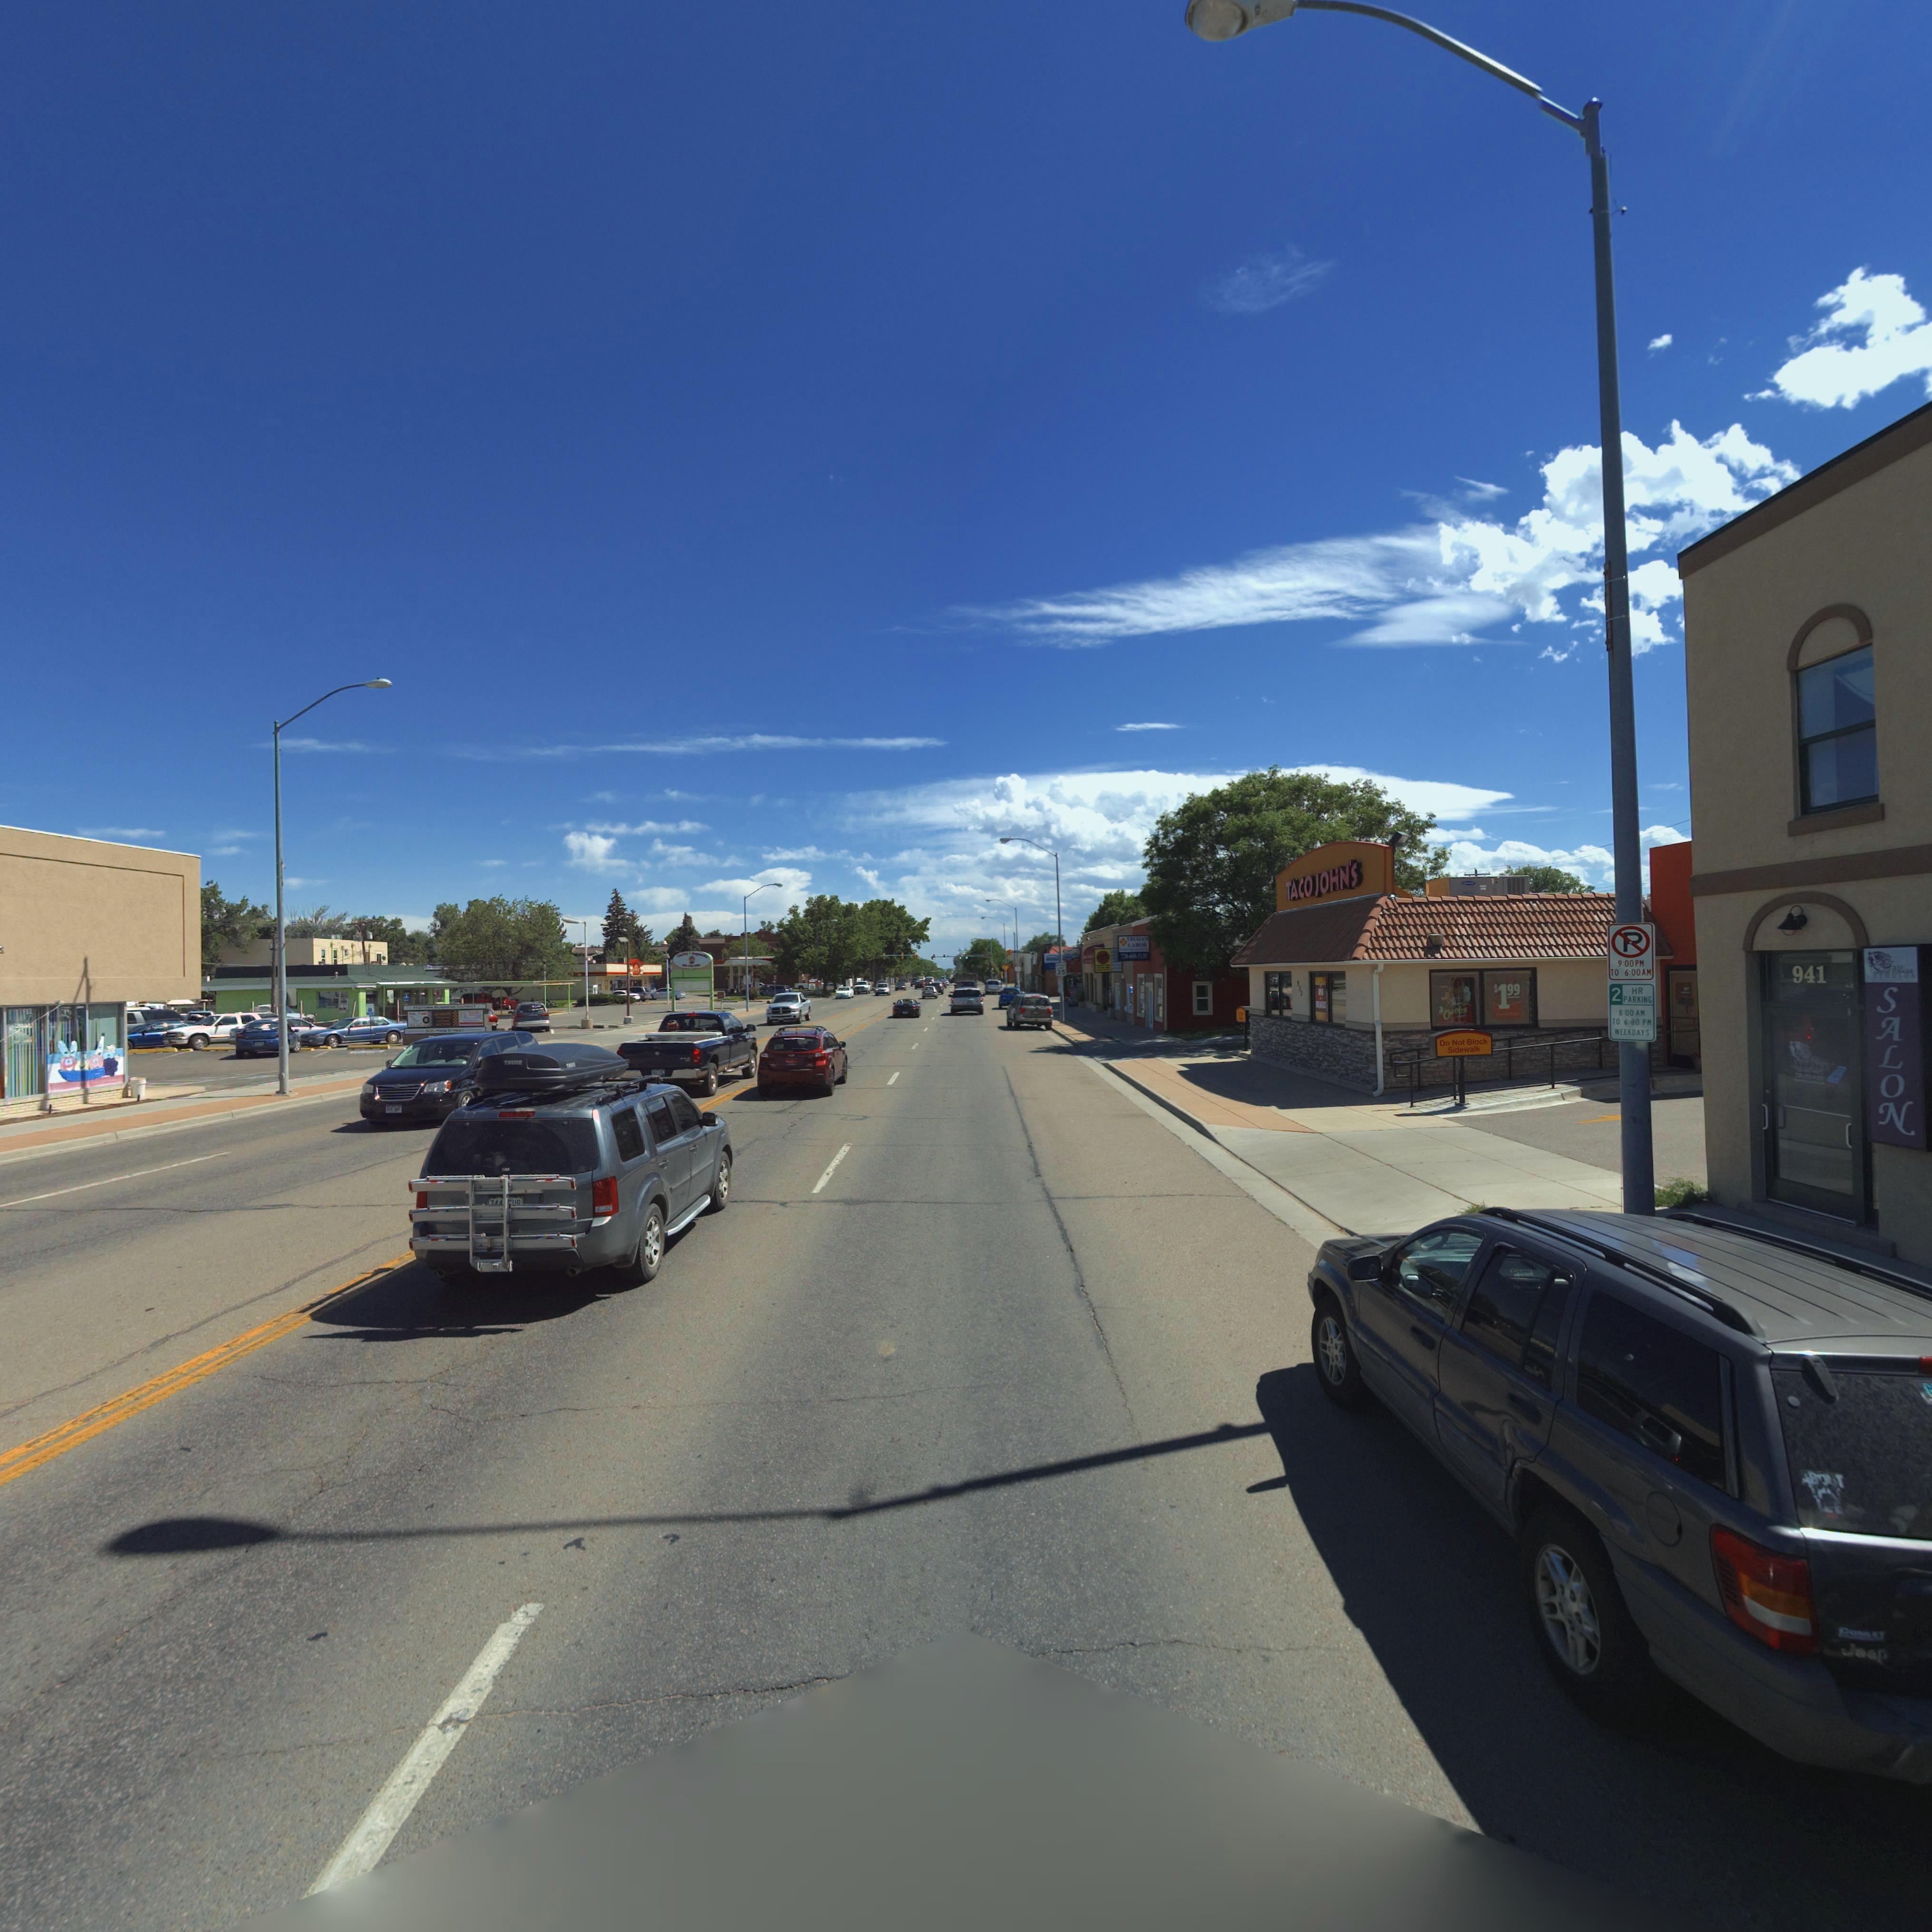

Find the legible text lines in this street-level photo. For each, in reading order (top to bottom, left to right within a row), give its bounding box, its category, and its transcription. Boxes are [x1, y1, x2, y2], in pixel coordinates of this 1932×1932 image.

[1285, 859, 1358, 901] BusinessName: TACO JOHN'S
[1126, 937, 1148, 941] BusinessName: TROJAN
[1128, 942, 1147, 947] BusinessName: LABOR
[676, 952, 688, 958] BusinessName: TACOS
[1791, 965, 1827, 984] StreetNumber: 941
[1873, 972, 1915, 979] BusinessName: STUDIOS
[1297, 980, 1302, 996] StreetNumber: 93*
[1874, 985, 1915, 1136] BusinessName: SALON